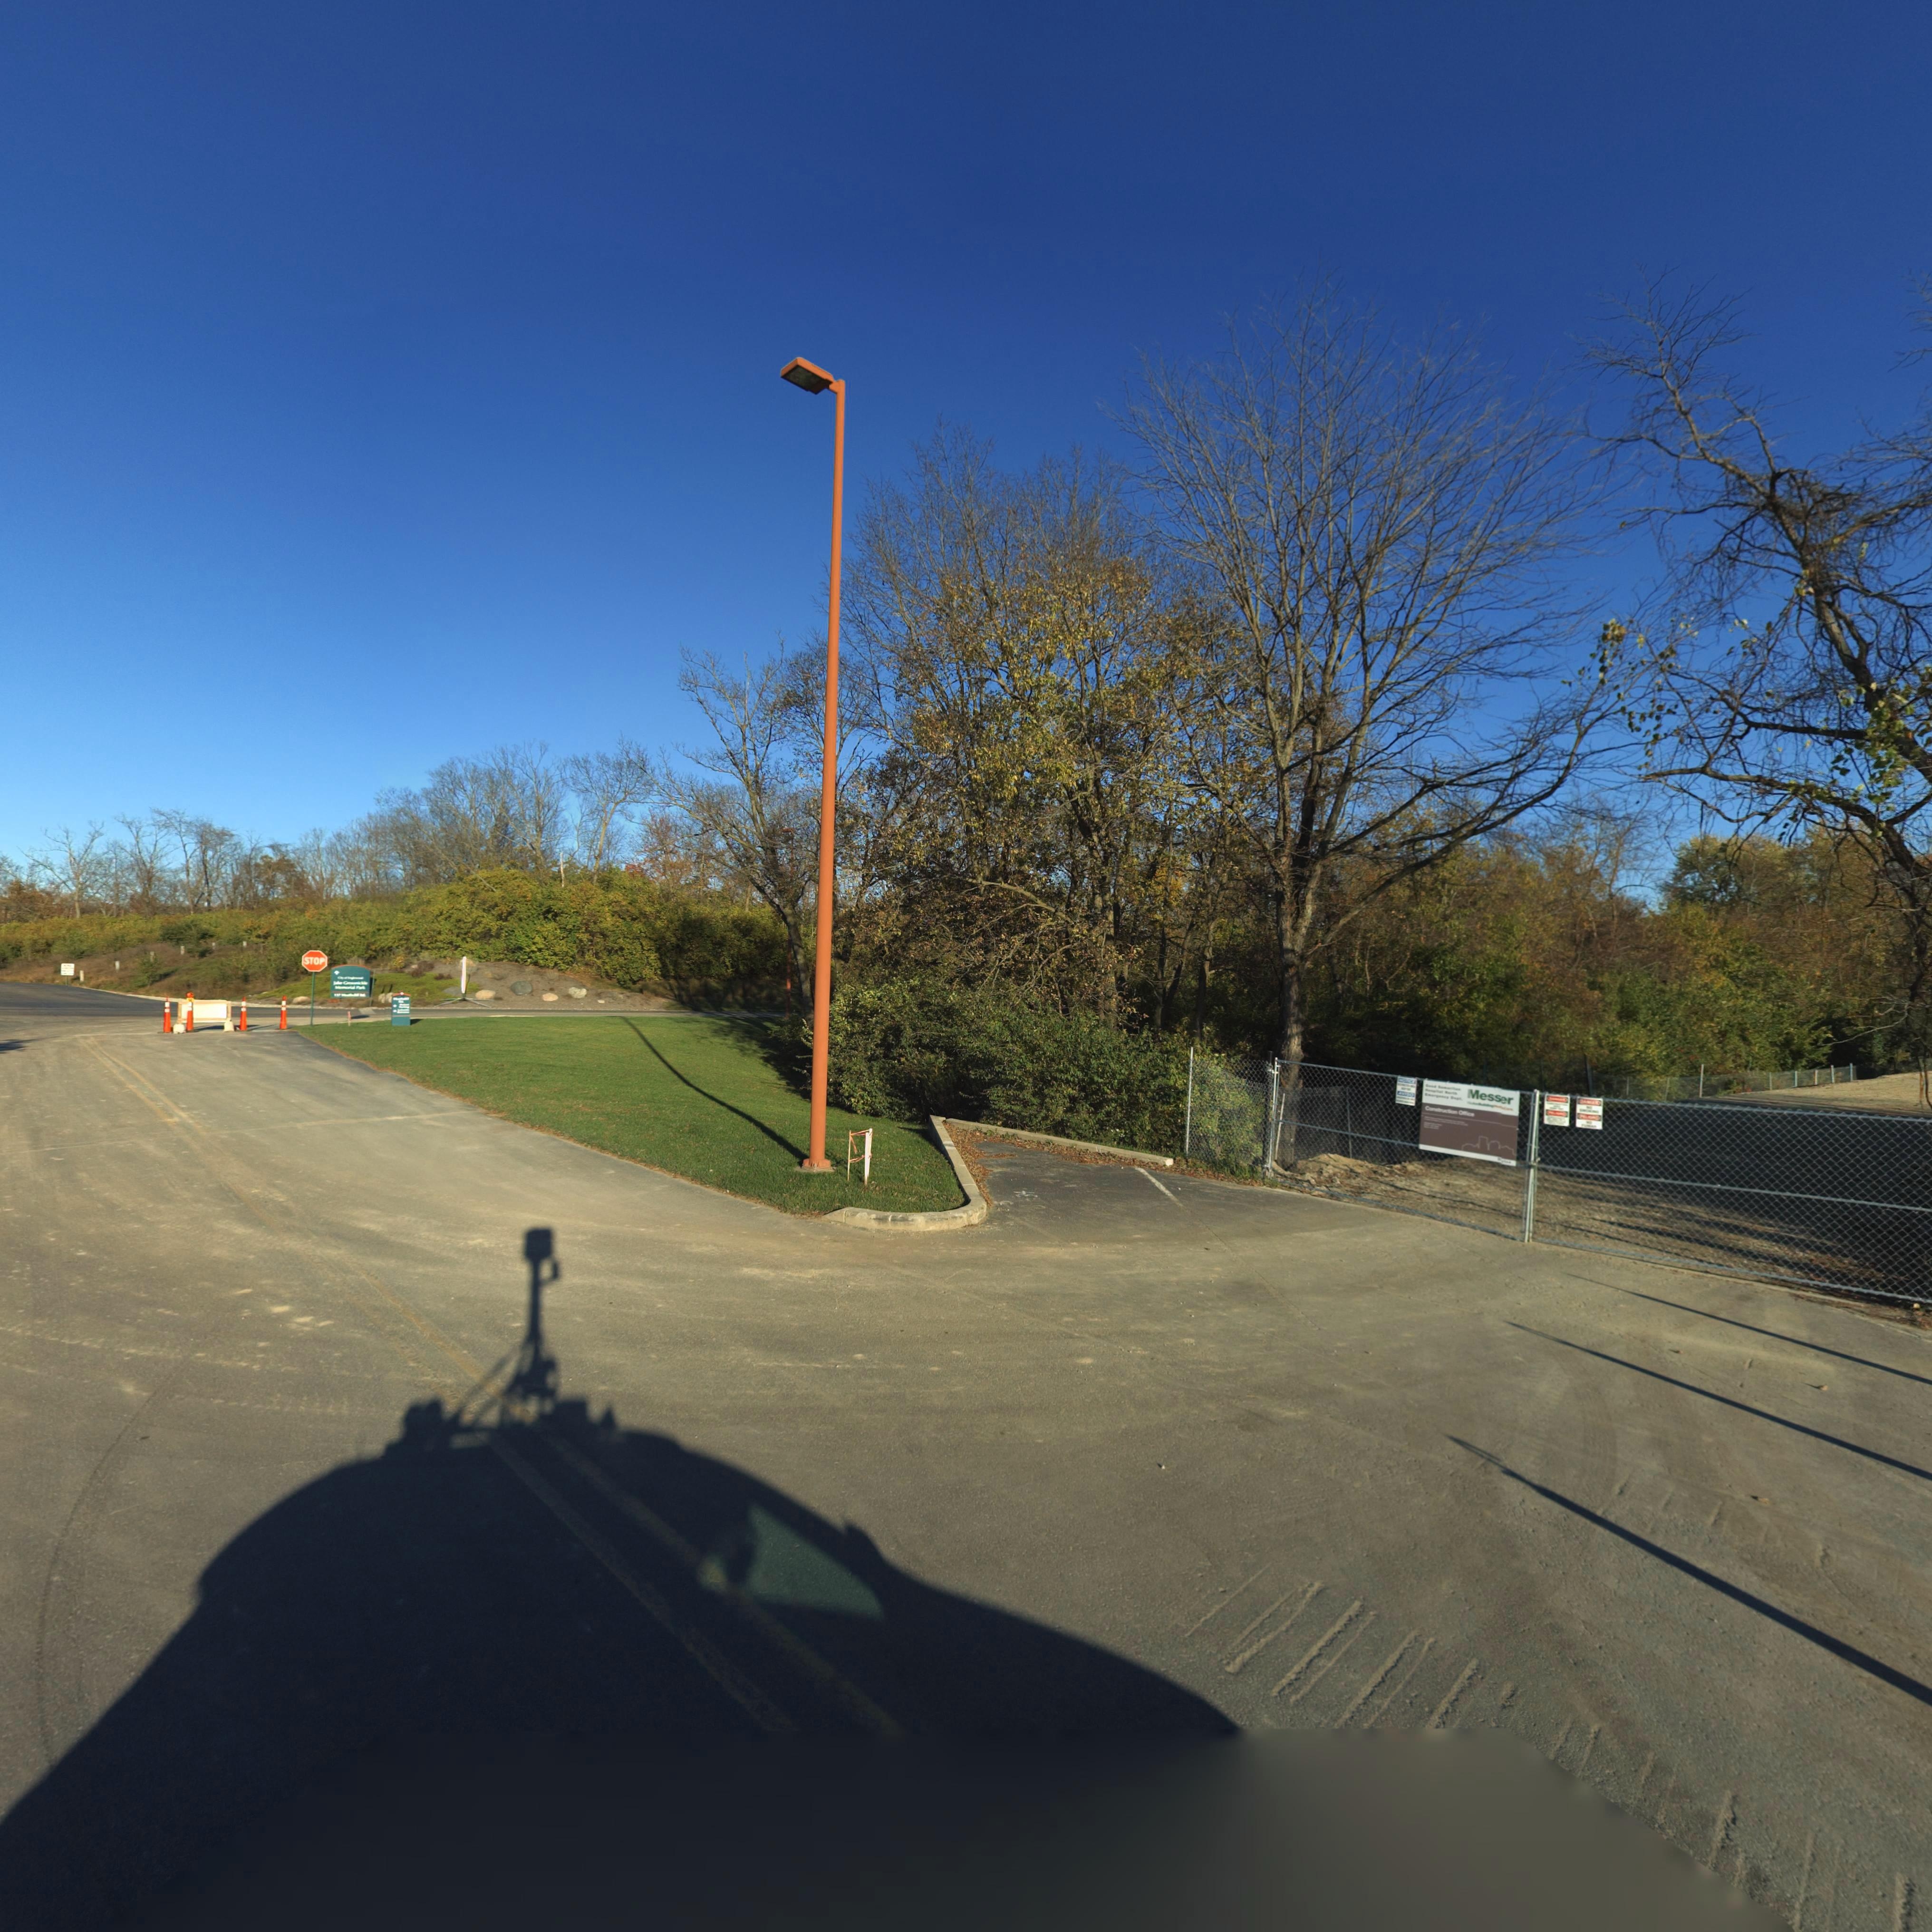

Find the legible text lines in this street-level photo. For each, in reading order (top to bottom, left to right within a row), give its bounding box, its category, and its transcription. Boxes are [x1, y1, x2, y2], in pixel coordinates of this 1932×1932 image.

[334, 993, 341, 997] StreetNumber: 137